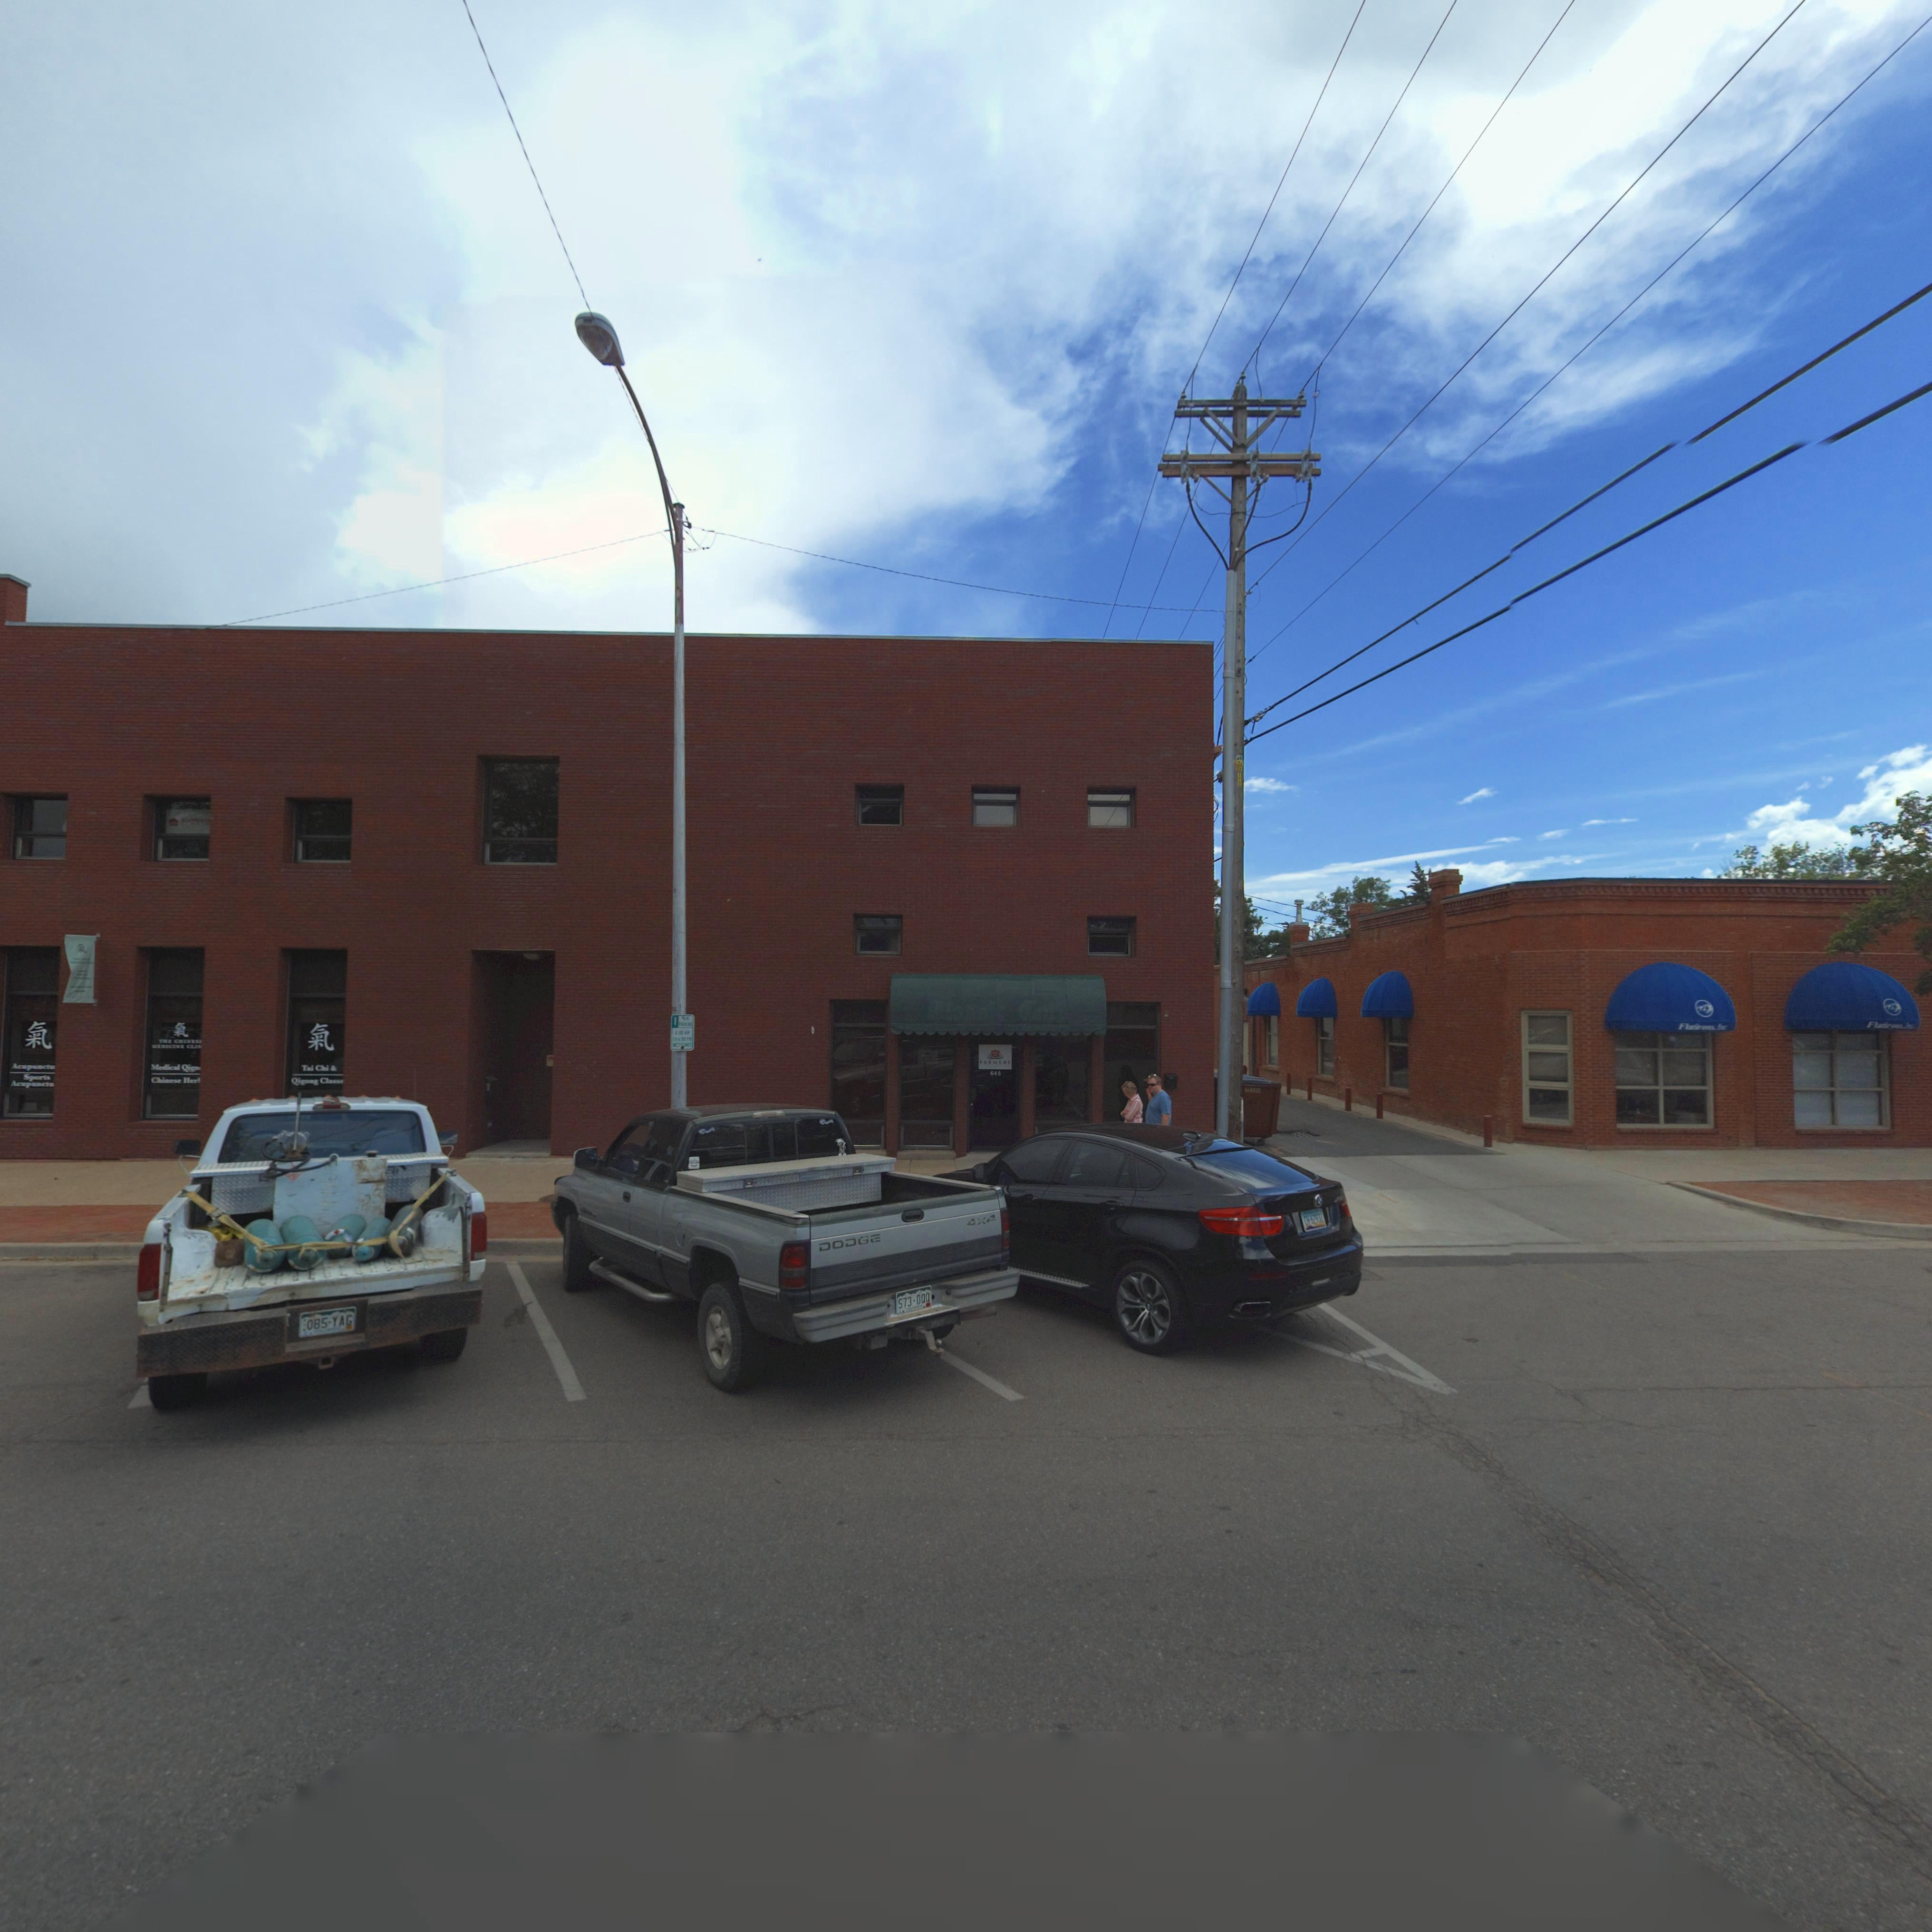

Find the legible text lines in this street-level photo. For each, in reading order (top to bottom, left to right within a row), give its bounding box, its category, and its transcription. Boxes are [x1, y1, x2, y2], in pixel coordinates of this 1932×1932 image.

[180, 818, 211, 822] BusinessName: SU****E
[158, 1039, 201, 1043] BusinessName: TH* CHINES*
[152, 1044, 201, 1049] BusinessName: ***ICINE CLI*
[979, 1060, 1010, 1064] None: FARMERS
[990, 1071, 1001, 1076] StreetNumber: 645